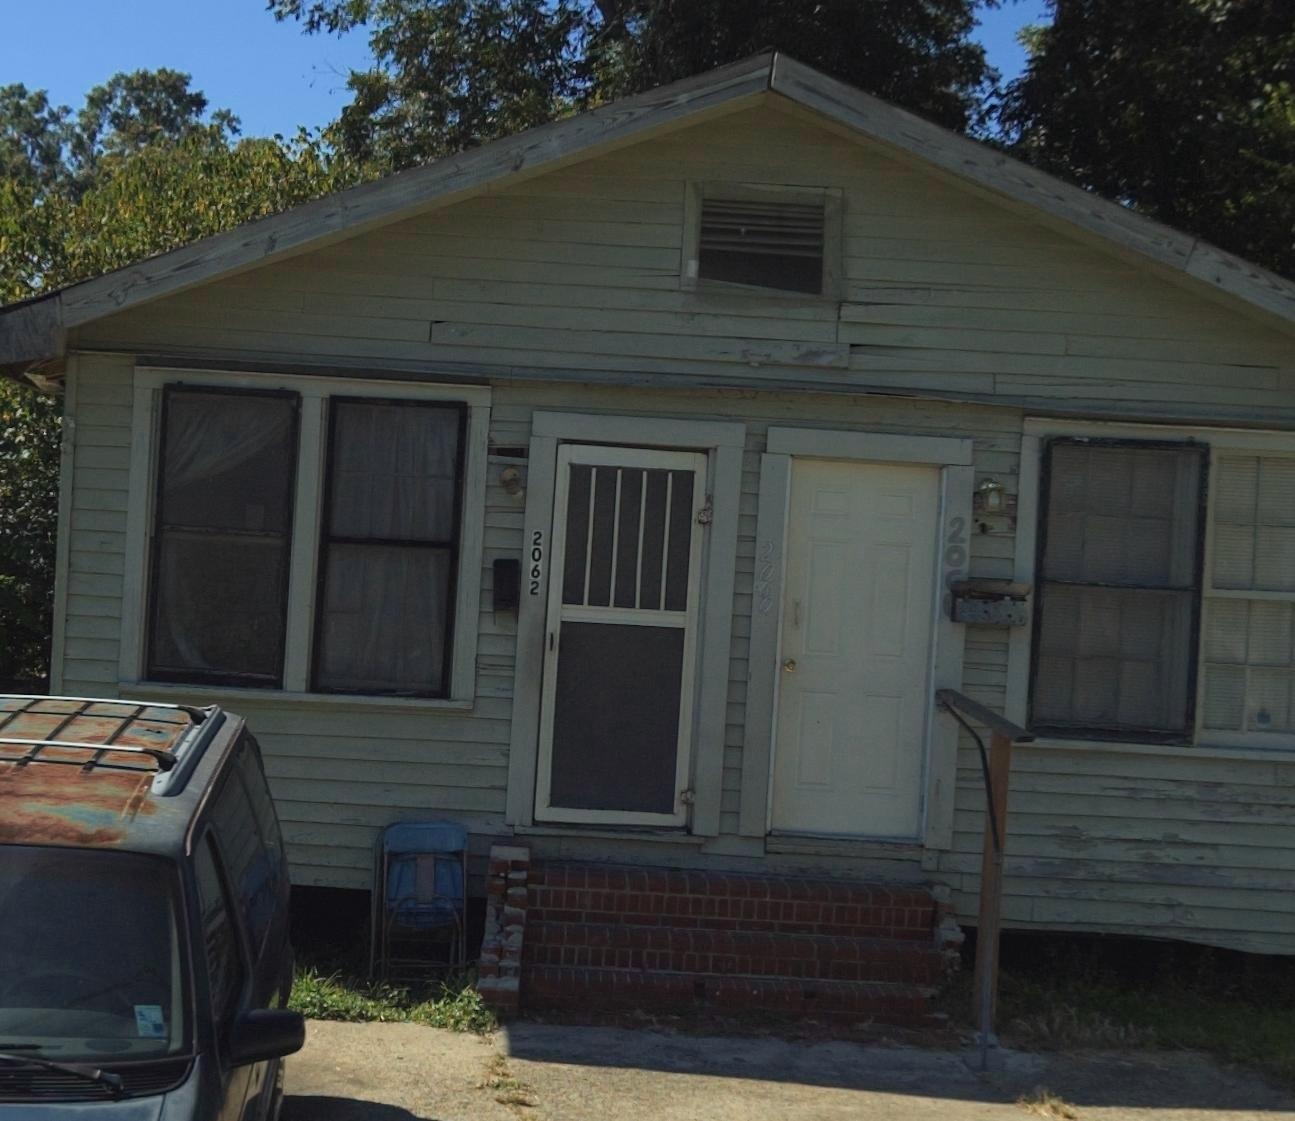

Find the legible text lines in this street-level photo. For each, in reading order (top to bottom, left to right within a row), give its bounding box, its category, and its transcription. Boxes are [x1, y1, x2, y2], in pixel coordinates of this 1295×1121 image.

[527, 528, 545, 598] StreetNumber: 2062
[755, 540, 777, 616] StreetNumber: 2060
[942, 513, 970, 570] StreetNumber: 20